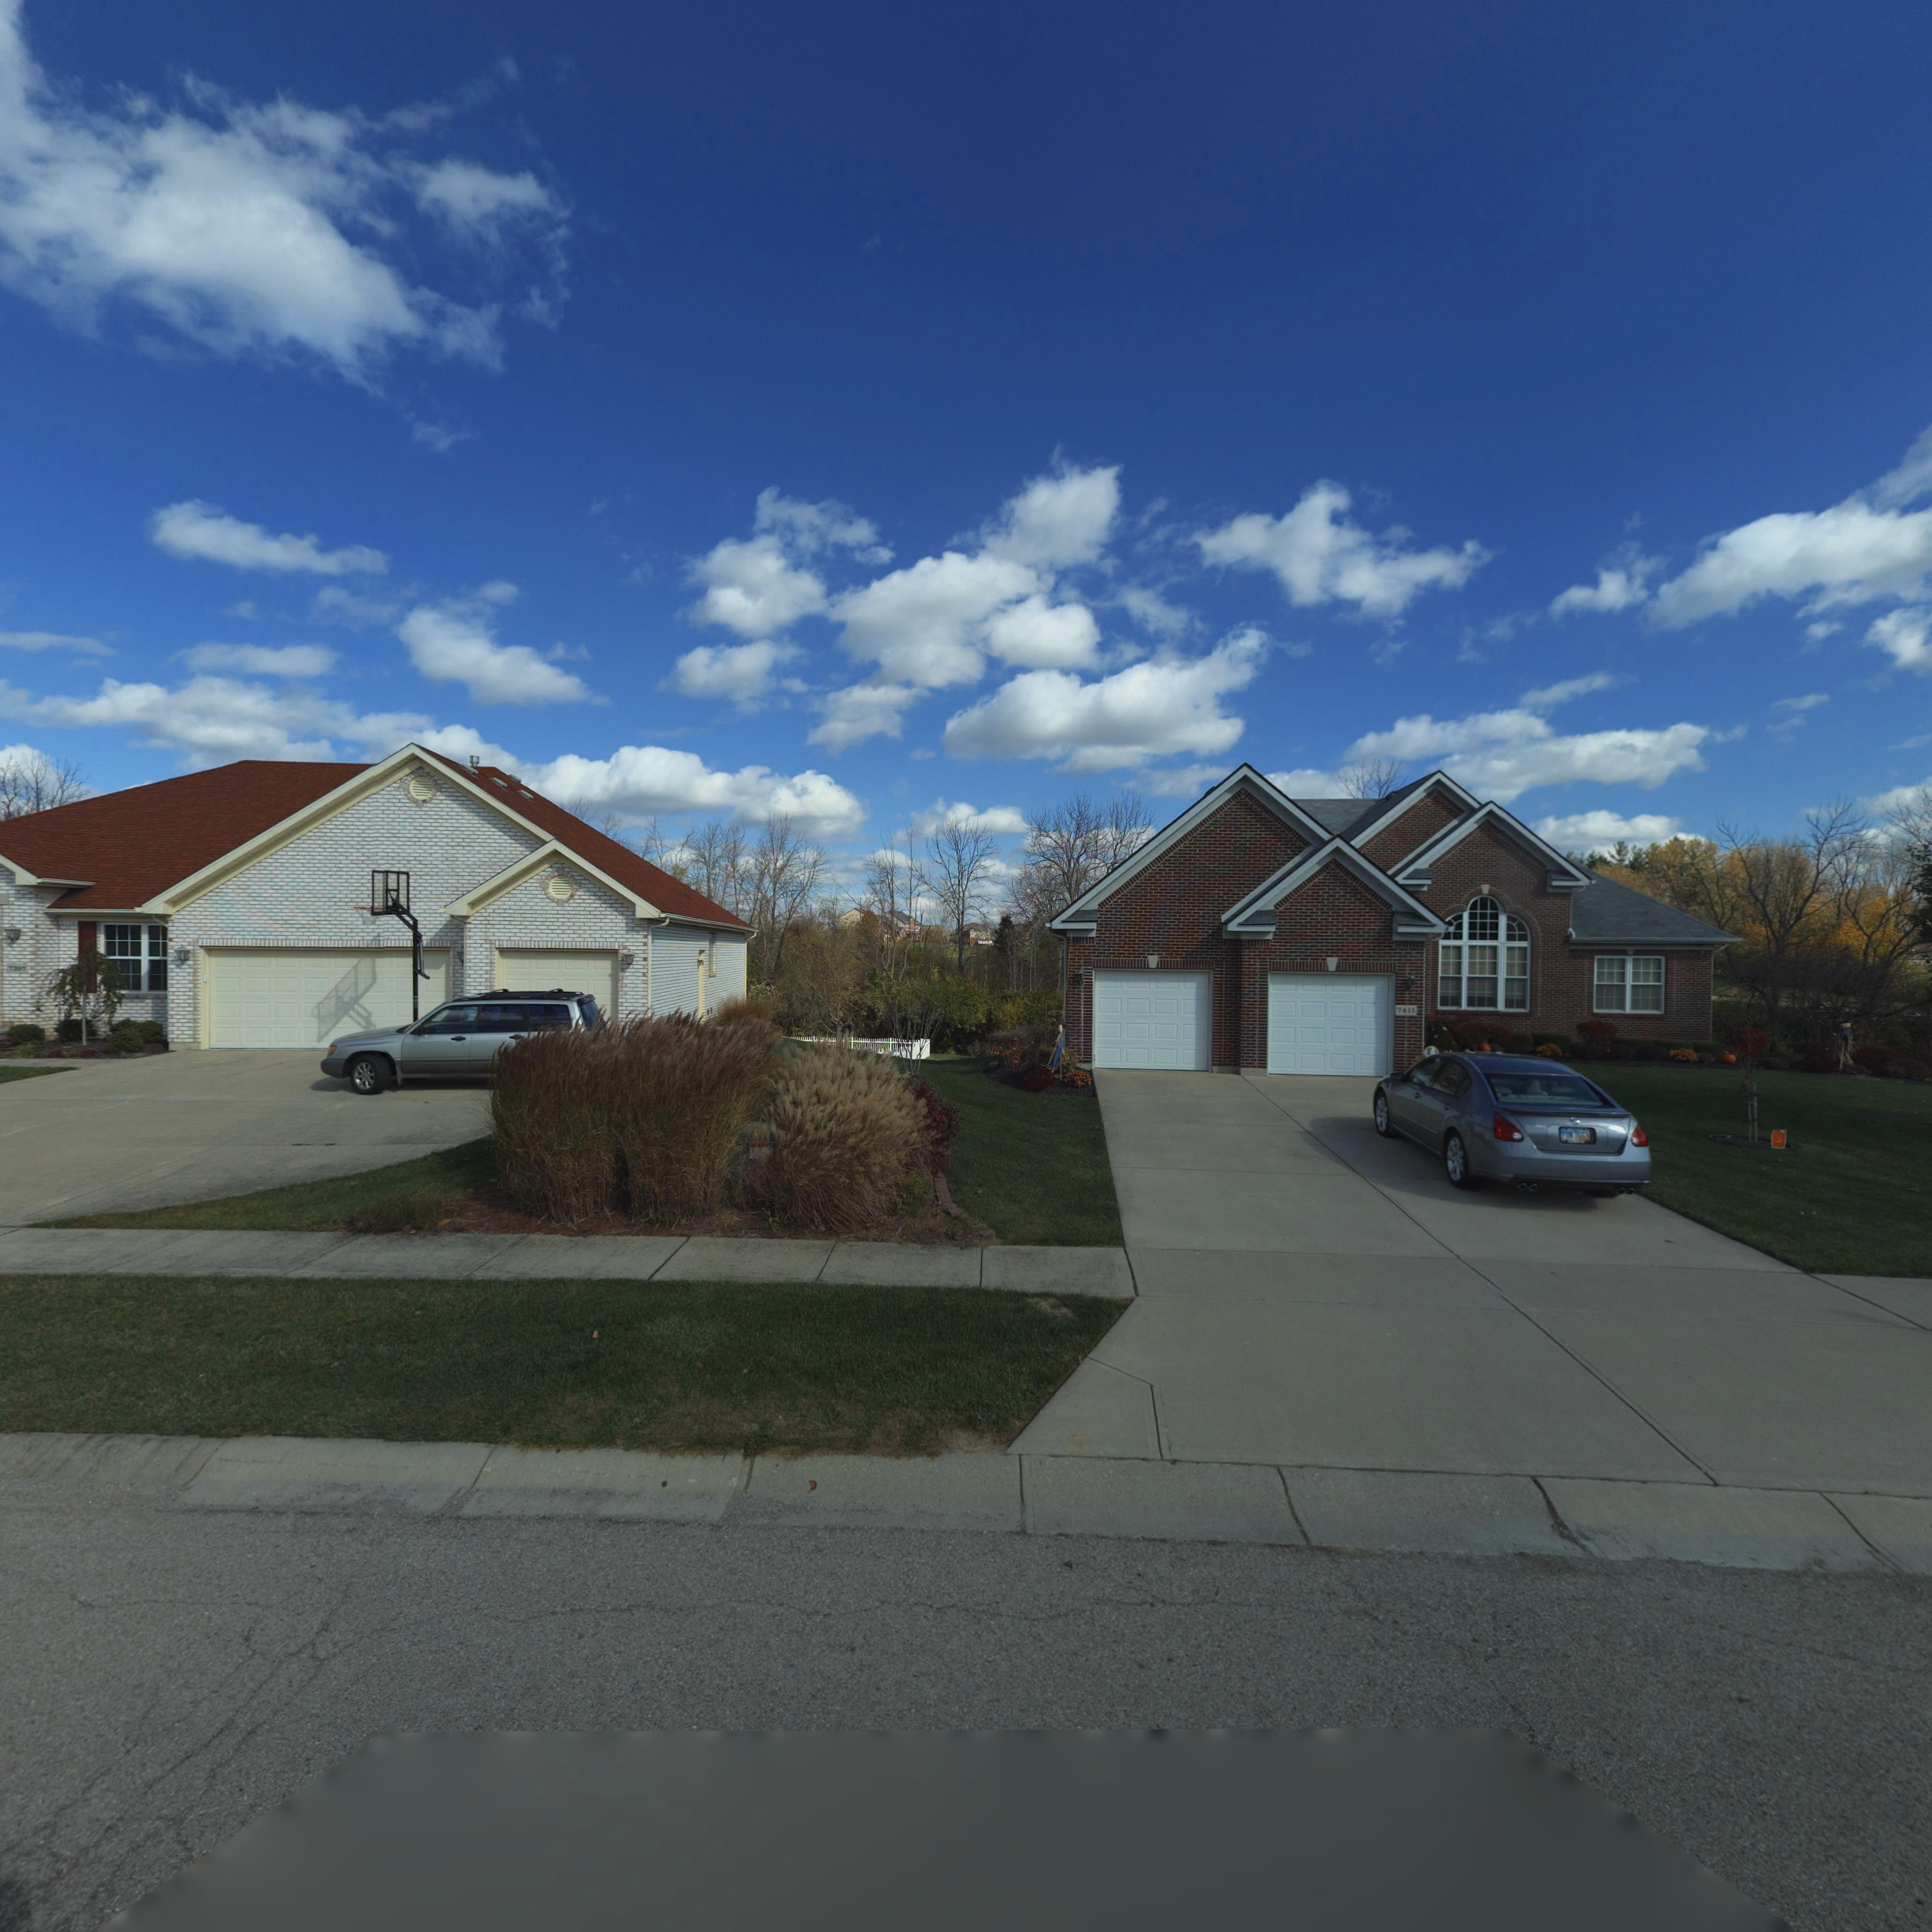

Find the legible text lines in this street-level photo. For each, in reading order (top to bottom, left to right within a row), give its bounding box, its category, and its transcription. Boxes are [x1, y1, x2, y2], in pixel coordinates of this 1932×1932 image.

[1396, 1007, 1416, 1014] StreetNumber: 7411